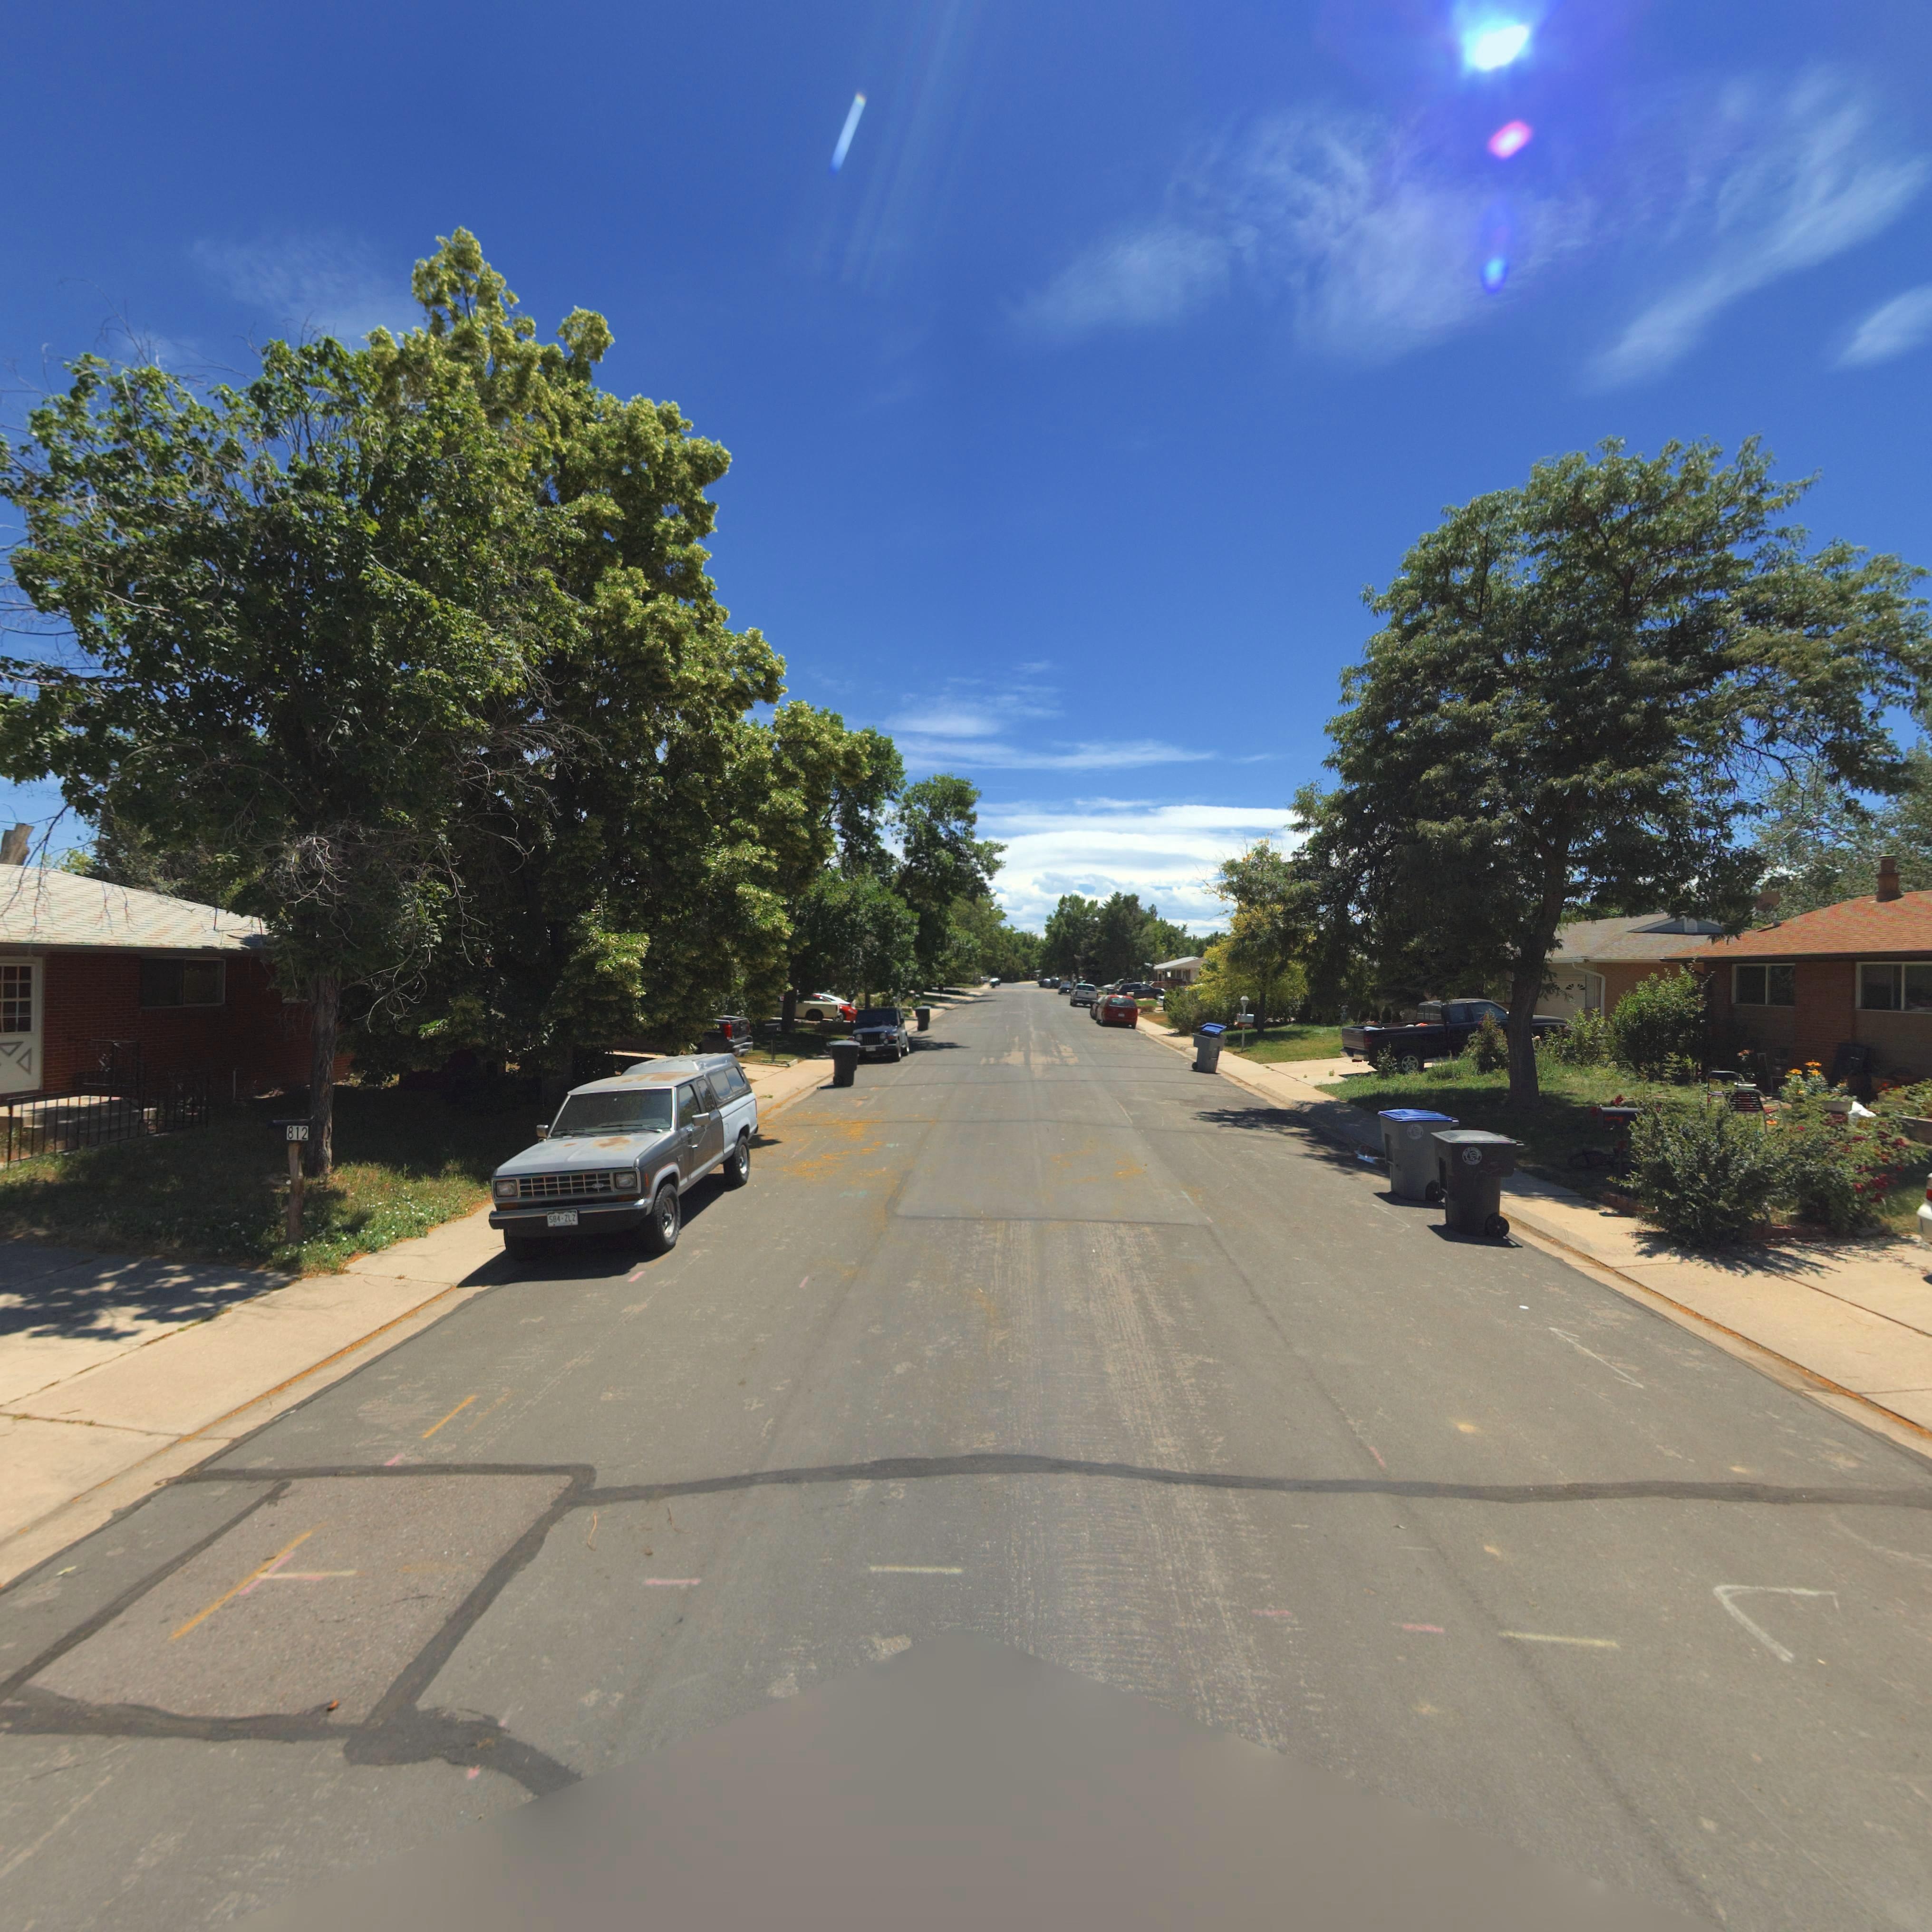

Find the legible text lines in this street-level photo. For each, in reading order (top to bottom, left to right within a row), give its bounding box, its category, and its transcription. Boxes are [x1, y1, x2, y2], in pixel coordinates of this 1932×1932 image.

[287, 1126, 308, 1140] StreetNumber: 812